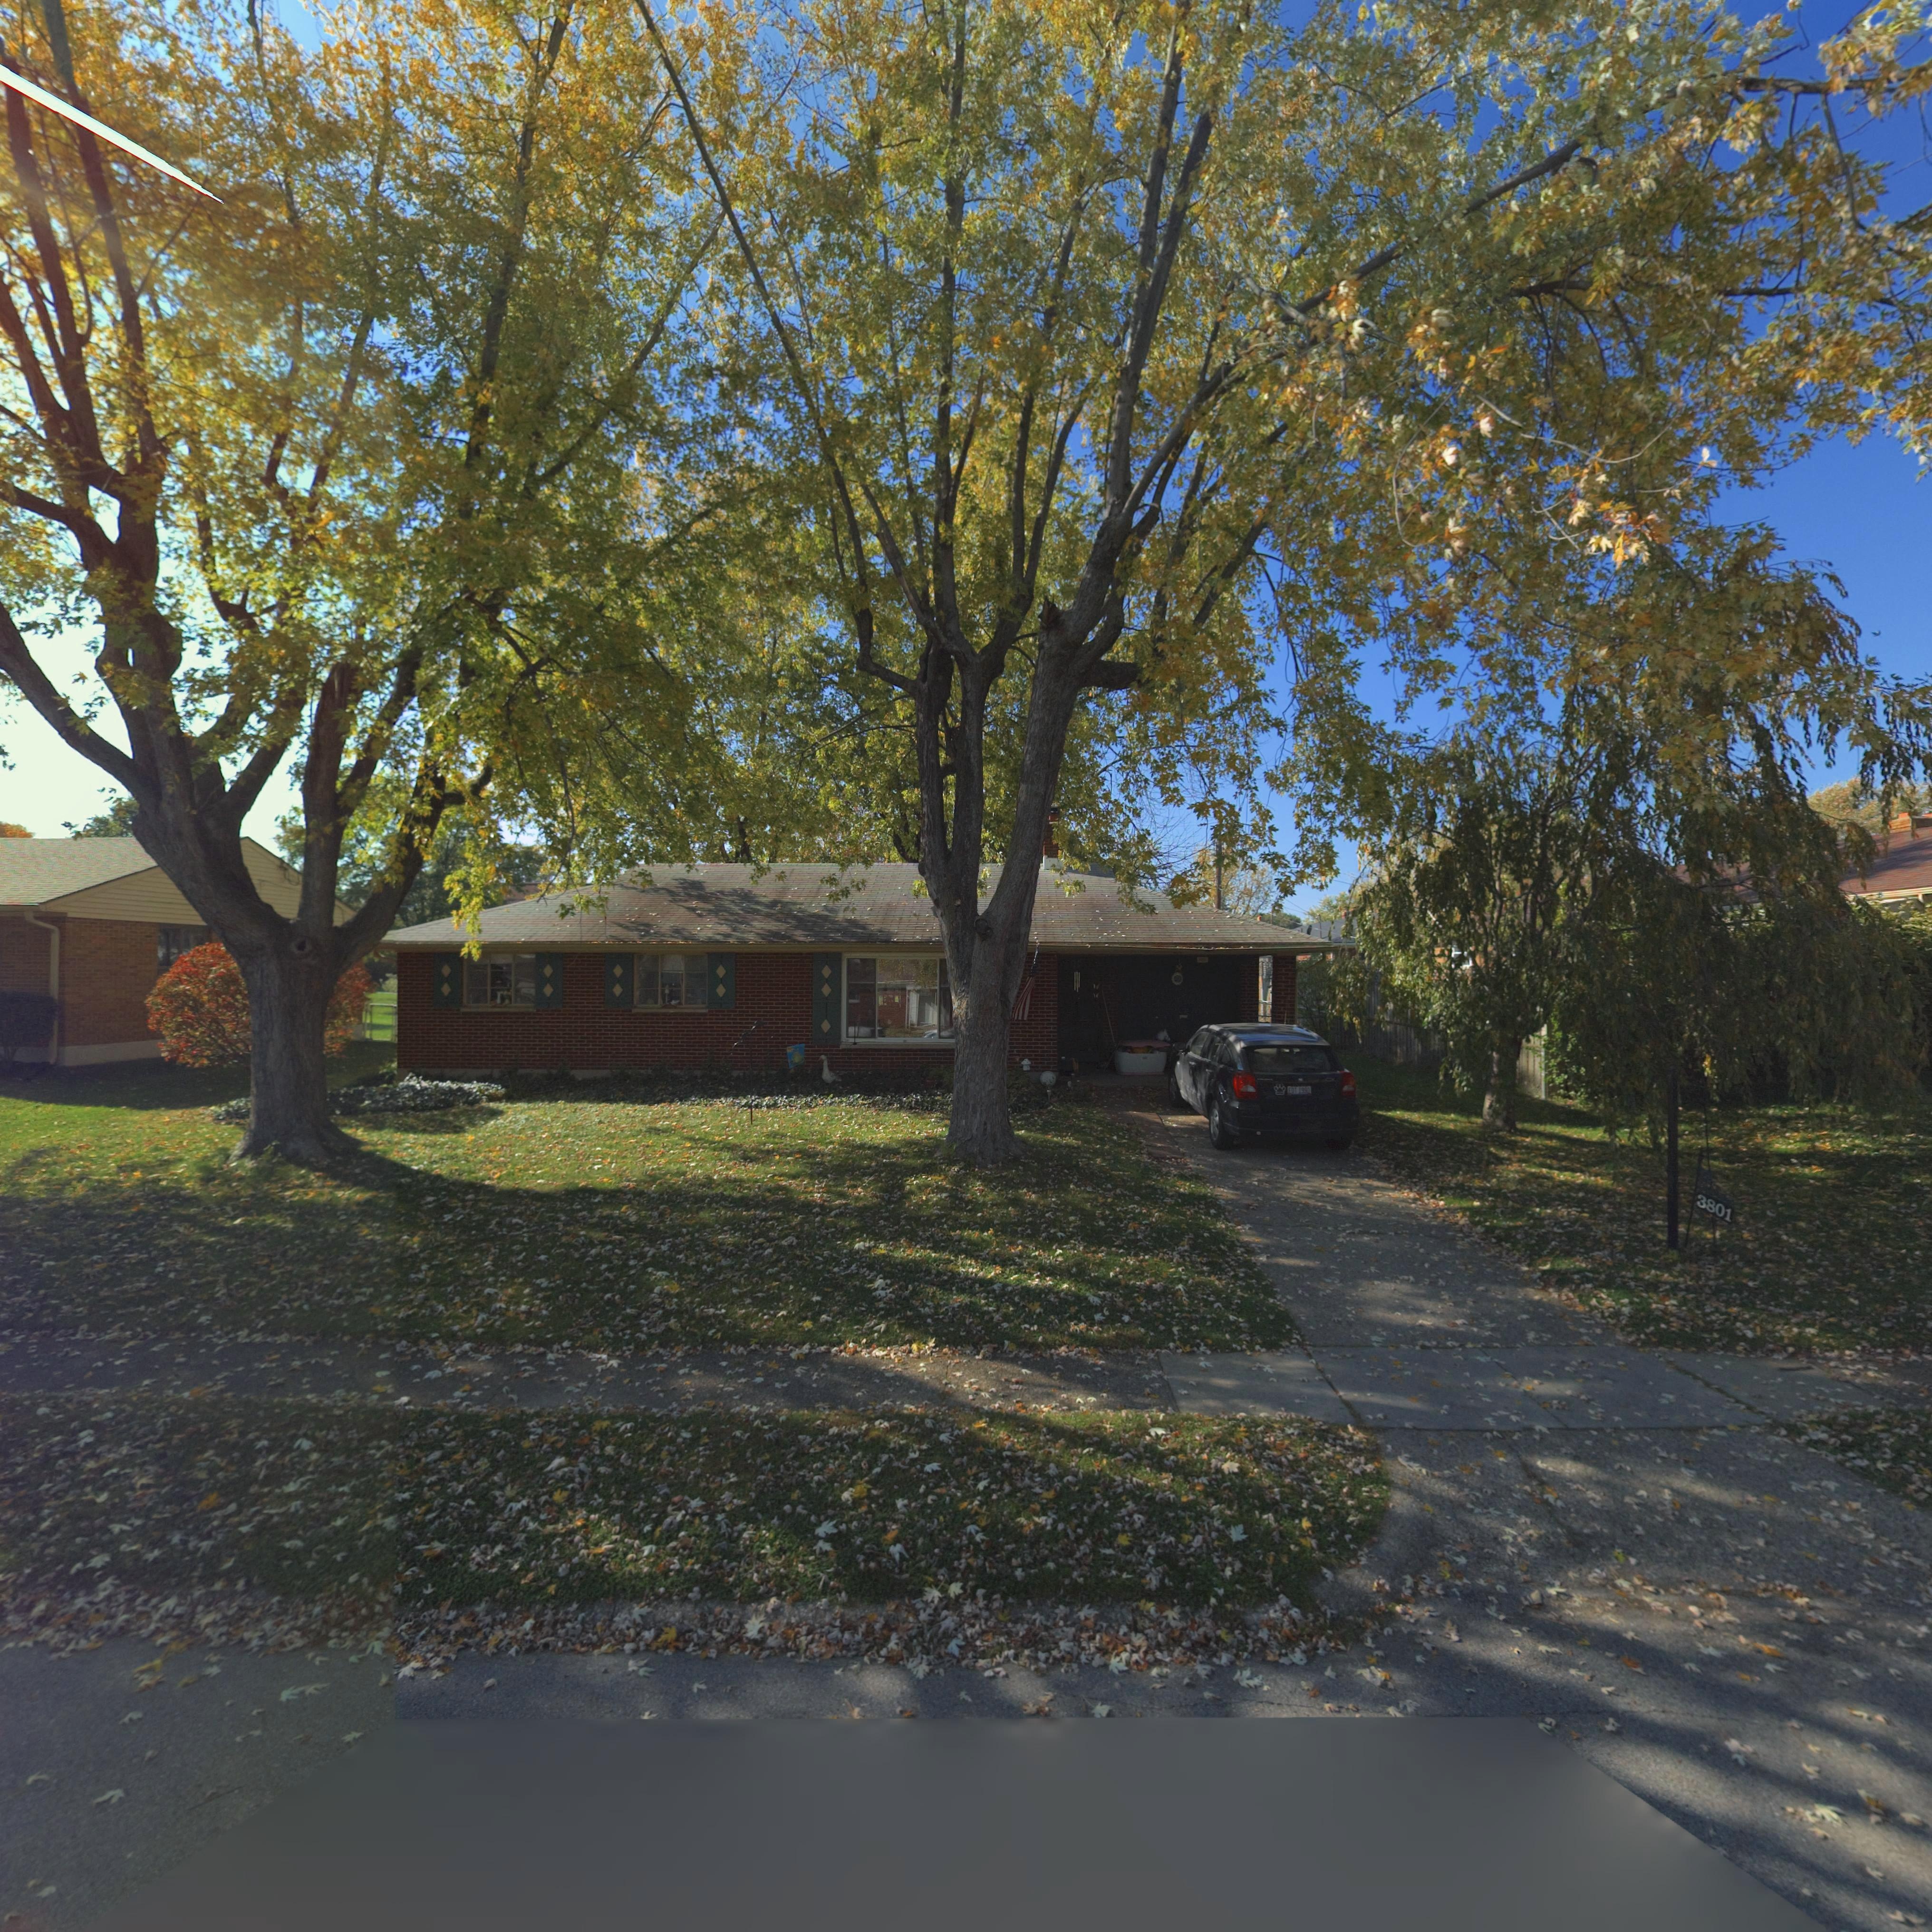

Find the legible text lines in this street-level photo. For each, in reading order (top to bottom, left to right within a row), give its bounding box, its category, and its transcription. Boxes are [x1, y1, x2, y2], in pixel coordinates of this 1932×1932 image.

[1287, 1086, 1311, 1095] None: EDT 1990
[1695, 1192, 1733, 1223] StreetNumber: 3801